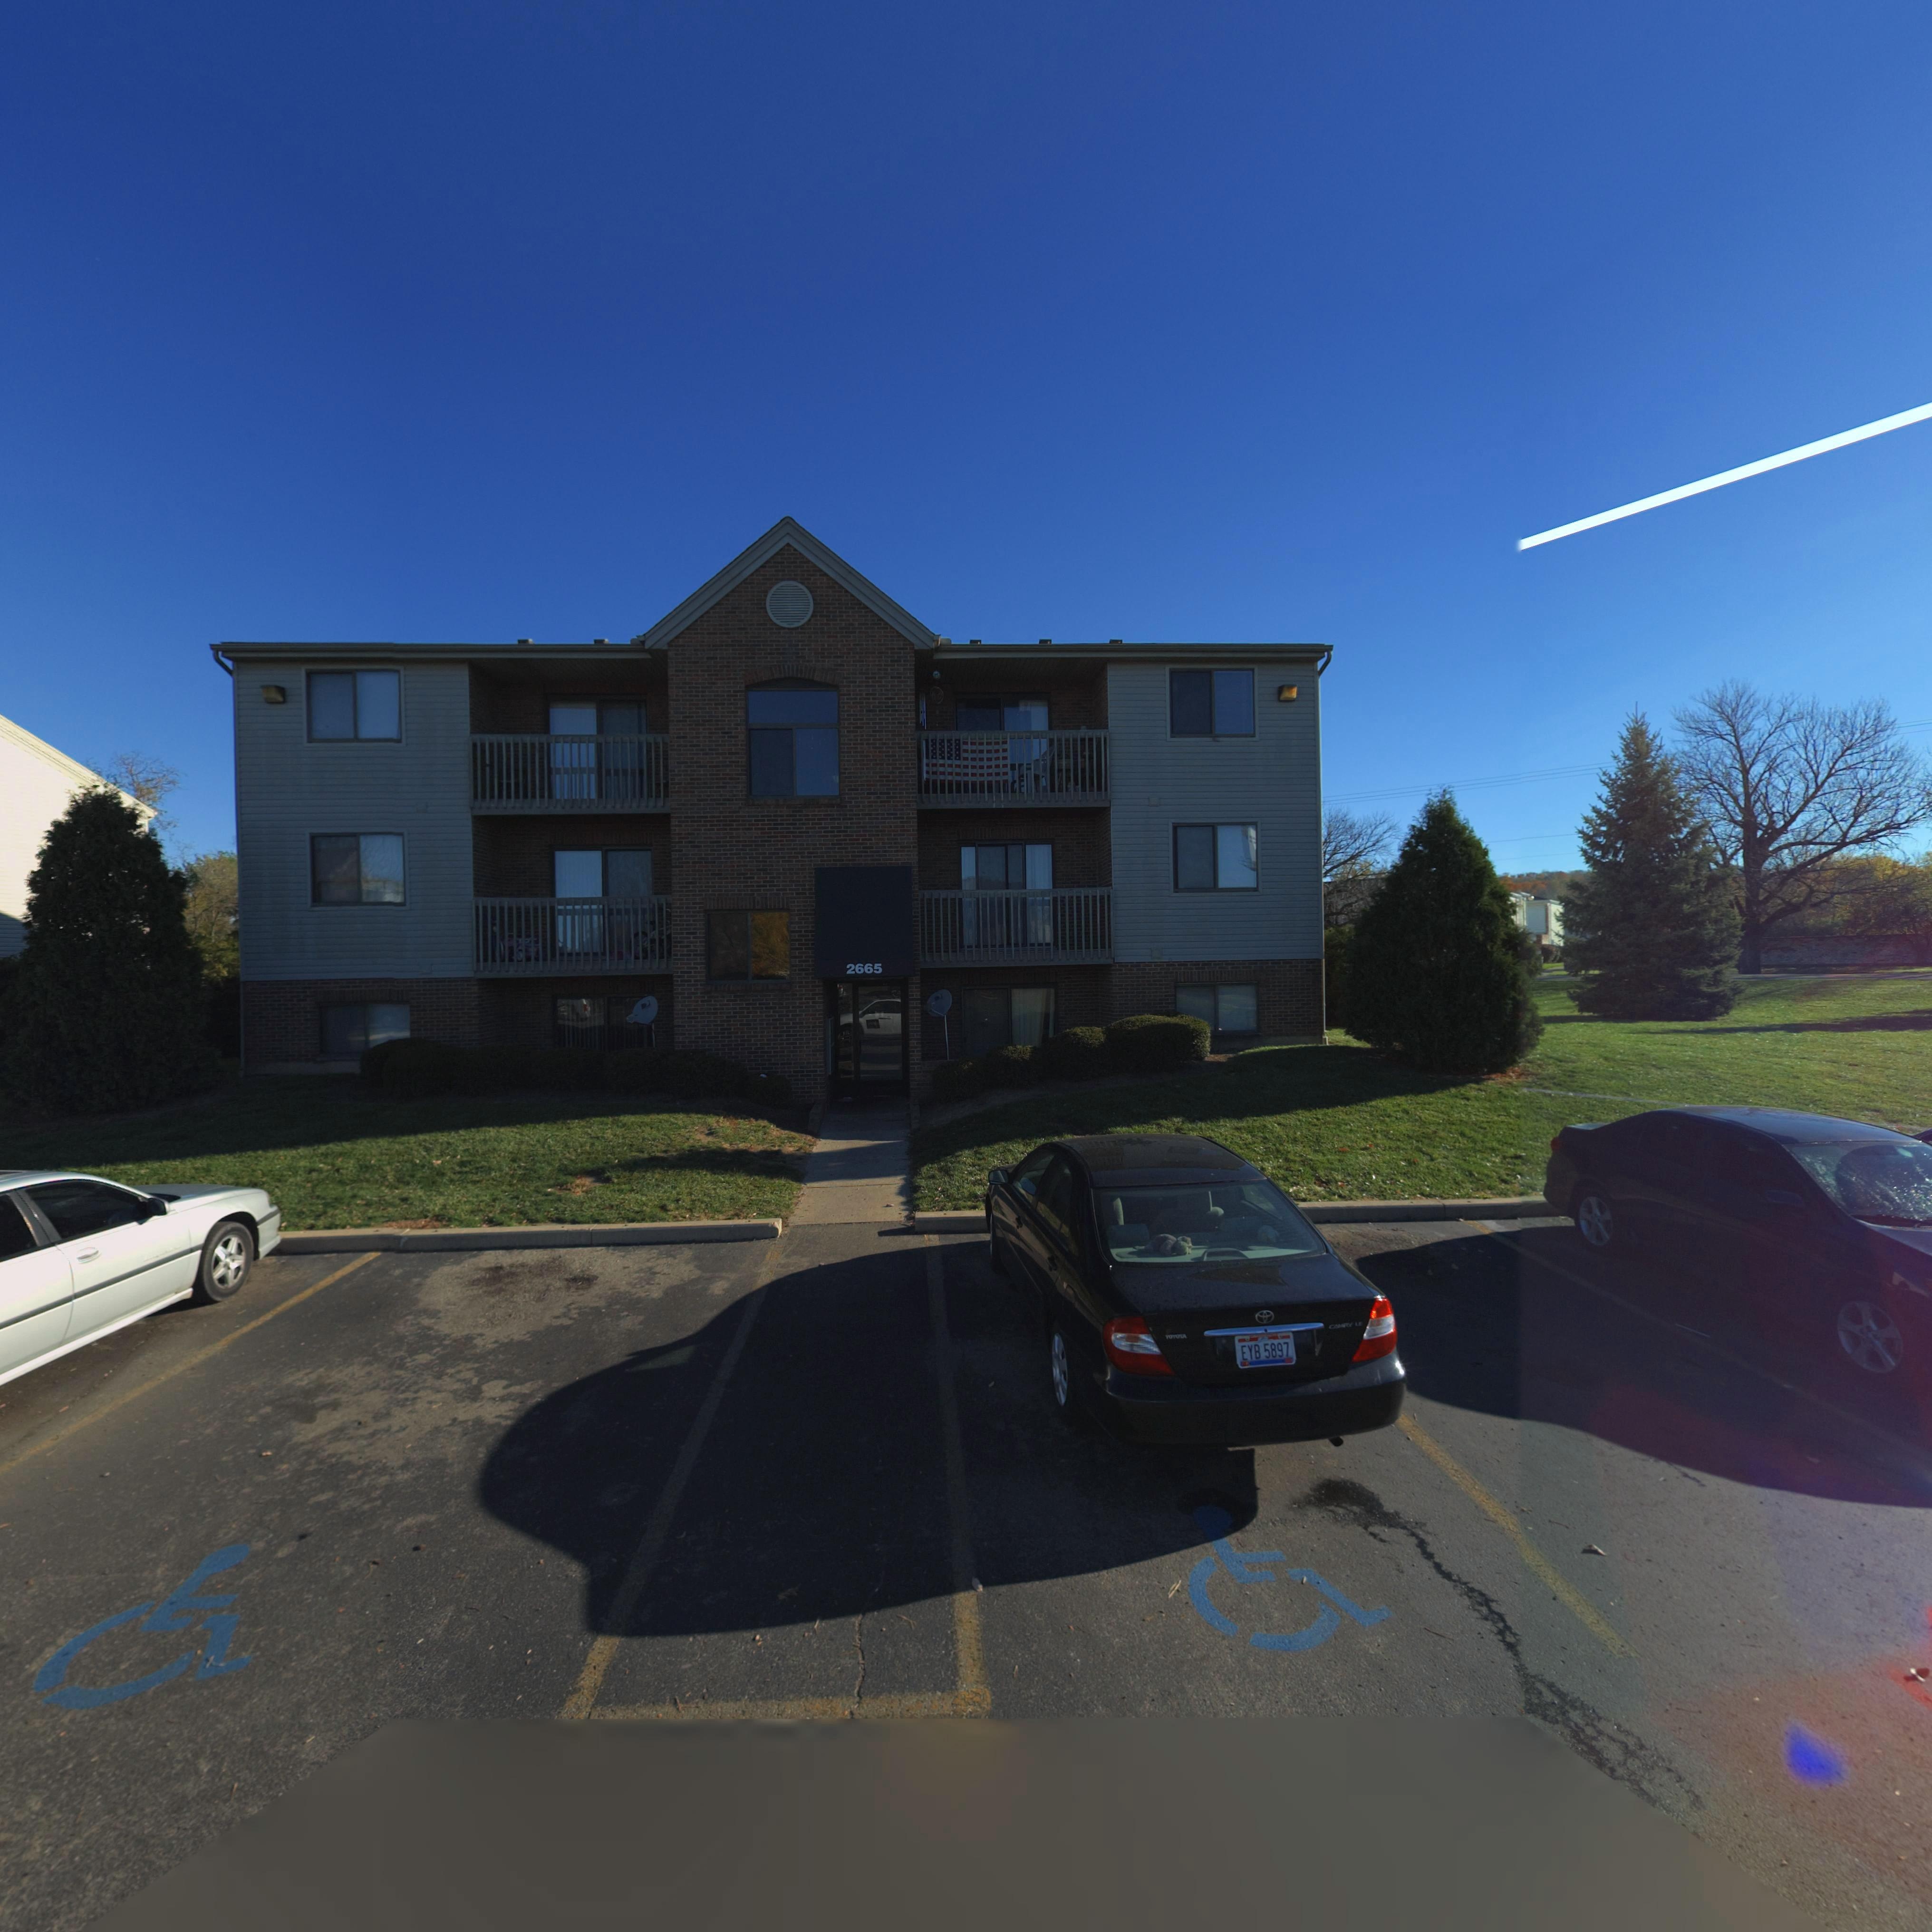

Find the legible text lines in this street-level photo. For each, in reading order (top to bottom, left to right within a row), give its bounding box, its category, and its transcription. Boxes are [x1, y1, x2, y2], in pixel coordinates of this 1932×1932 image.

[846, 963, 883, 974] StreetNumber: 2665